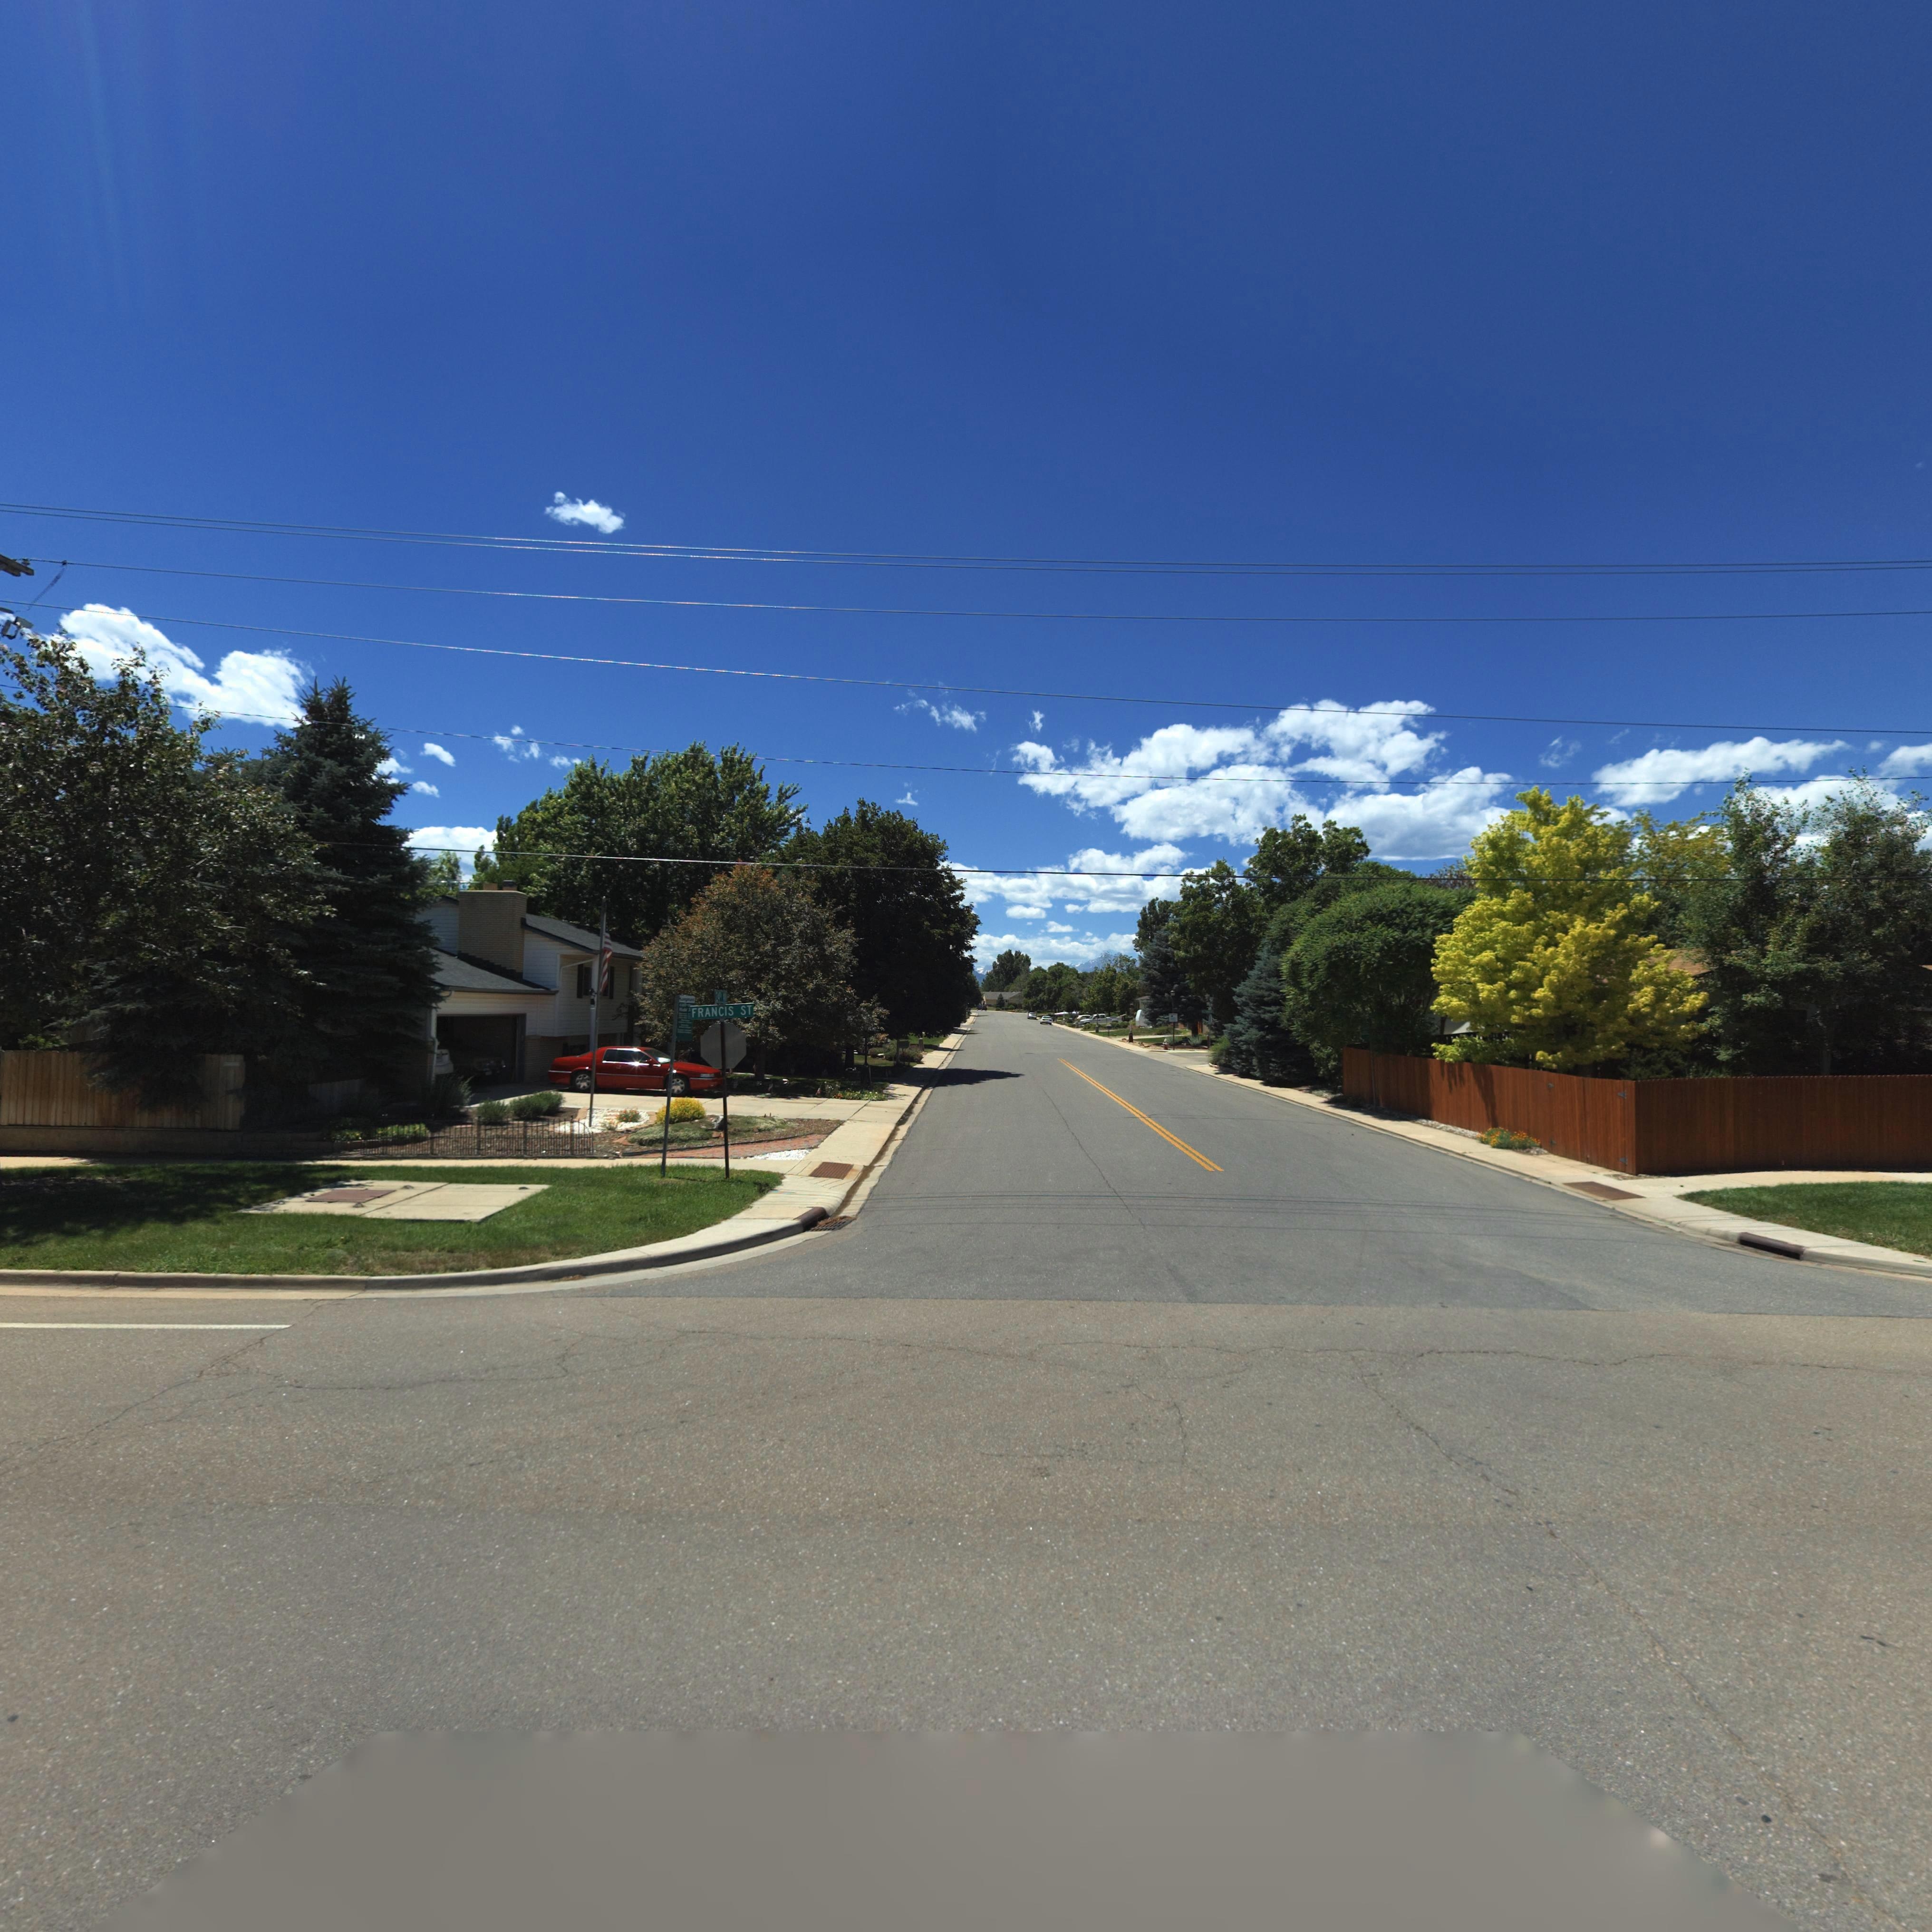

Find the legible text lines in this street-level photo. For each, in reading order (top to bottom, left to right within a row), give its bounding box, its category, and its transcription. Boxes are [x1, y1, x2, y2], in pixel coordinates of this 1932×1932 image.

[715, 991, 727, 1002] StreetName: 24th ST
[691, 1005, 752, 1018] StreetName: FRANCIS ST